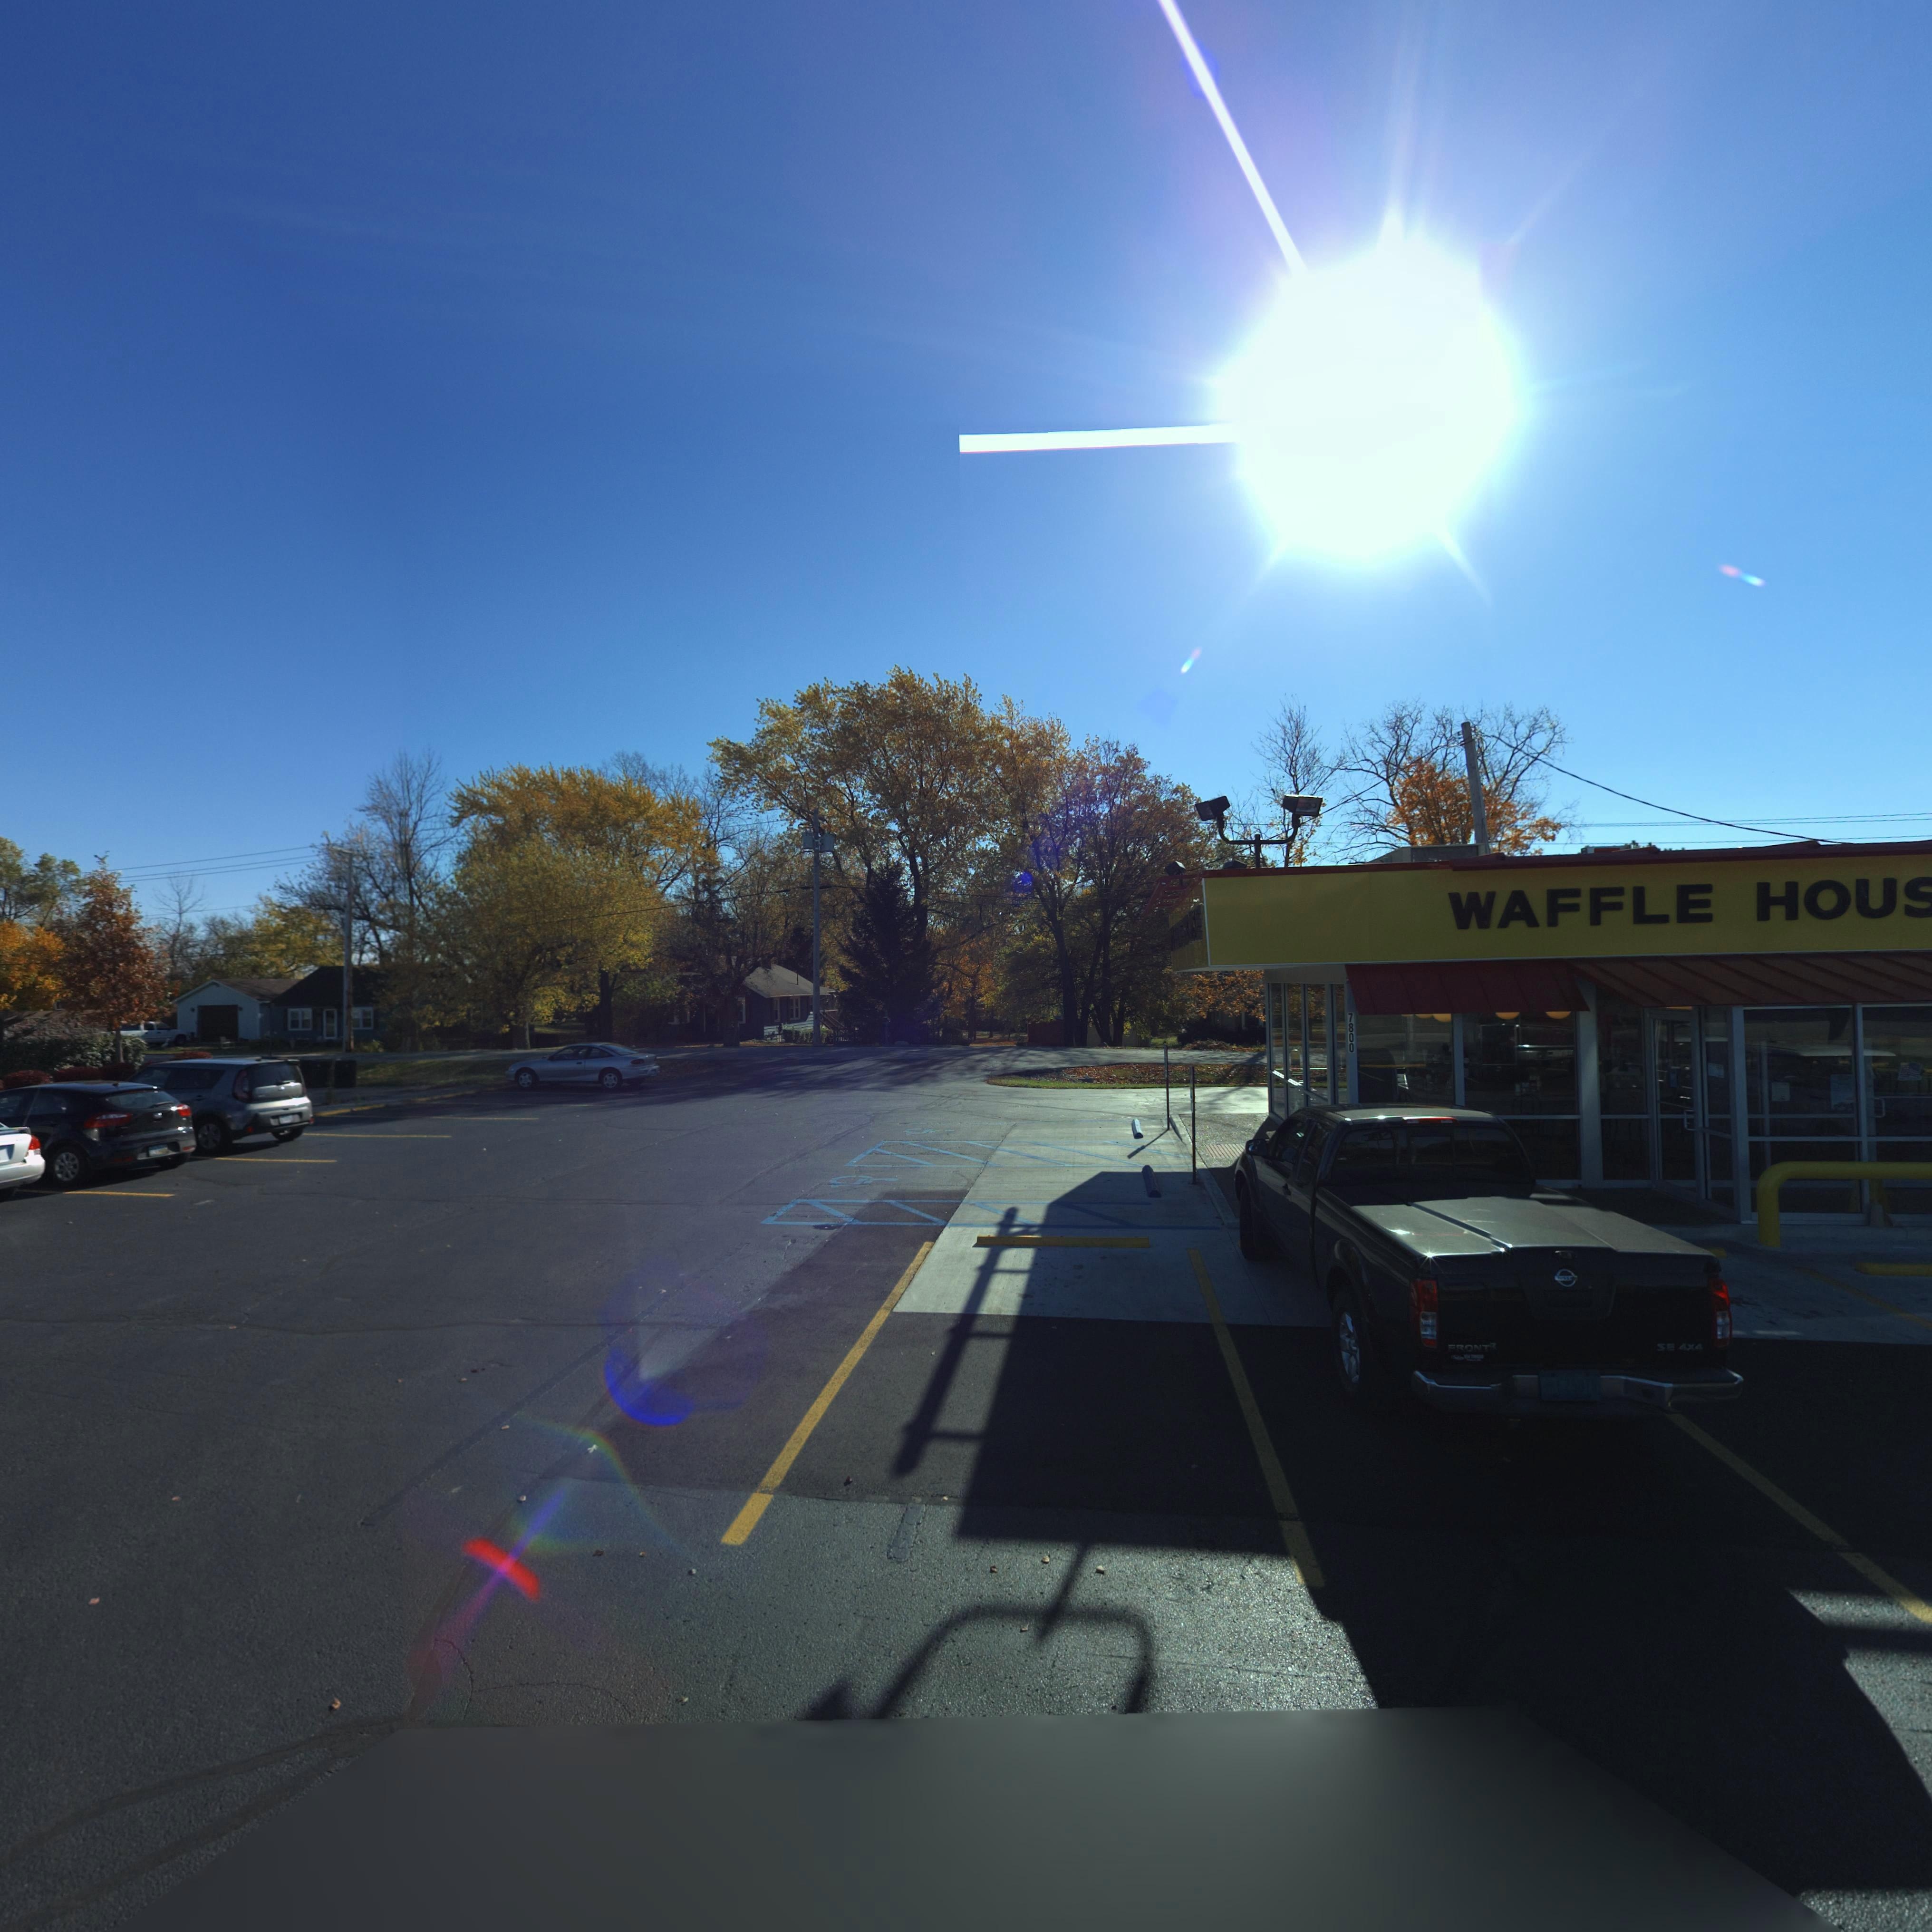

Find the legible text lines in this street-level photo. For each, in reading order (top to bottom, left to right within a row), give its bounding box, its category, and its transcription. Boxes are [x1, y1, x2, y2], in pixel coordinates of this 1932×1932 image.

[1347, 1012, 1355, 1053] StreetNumber: 7800